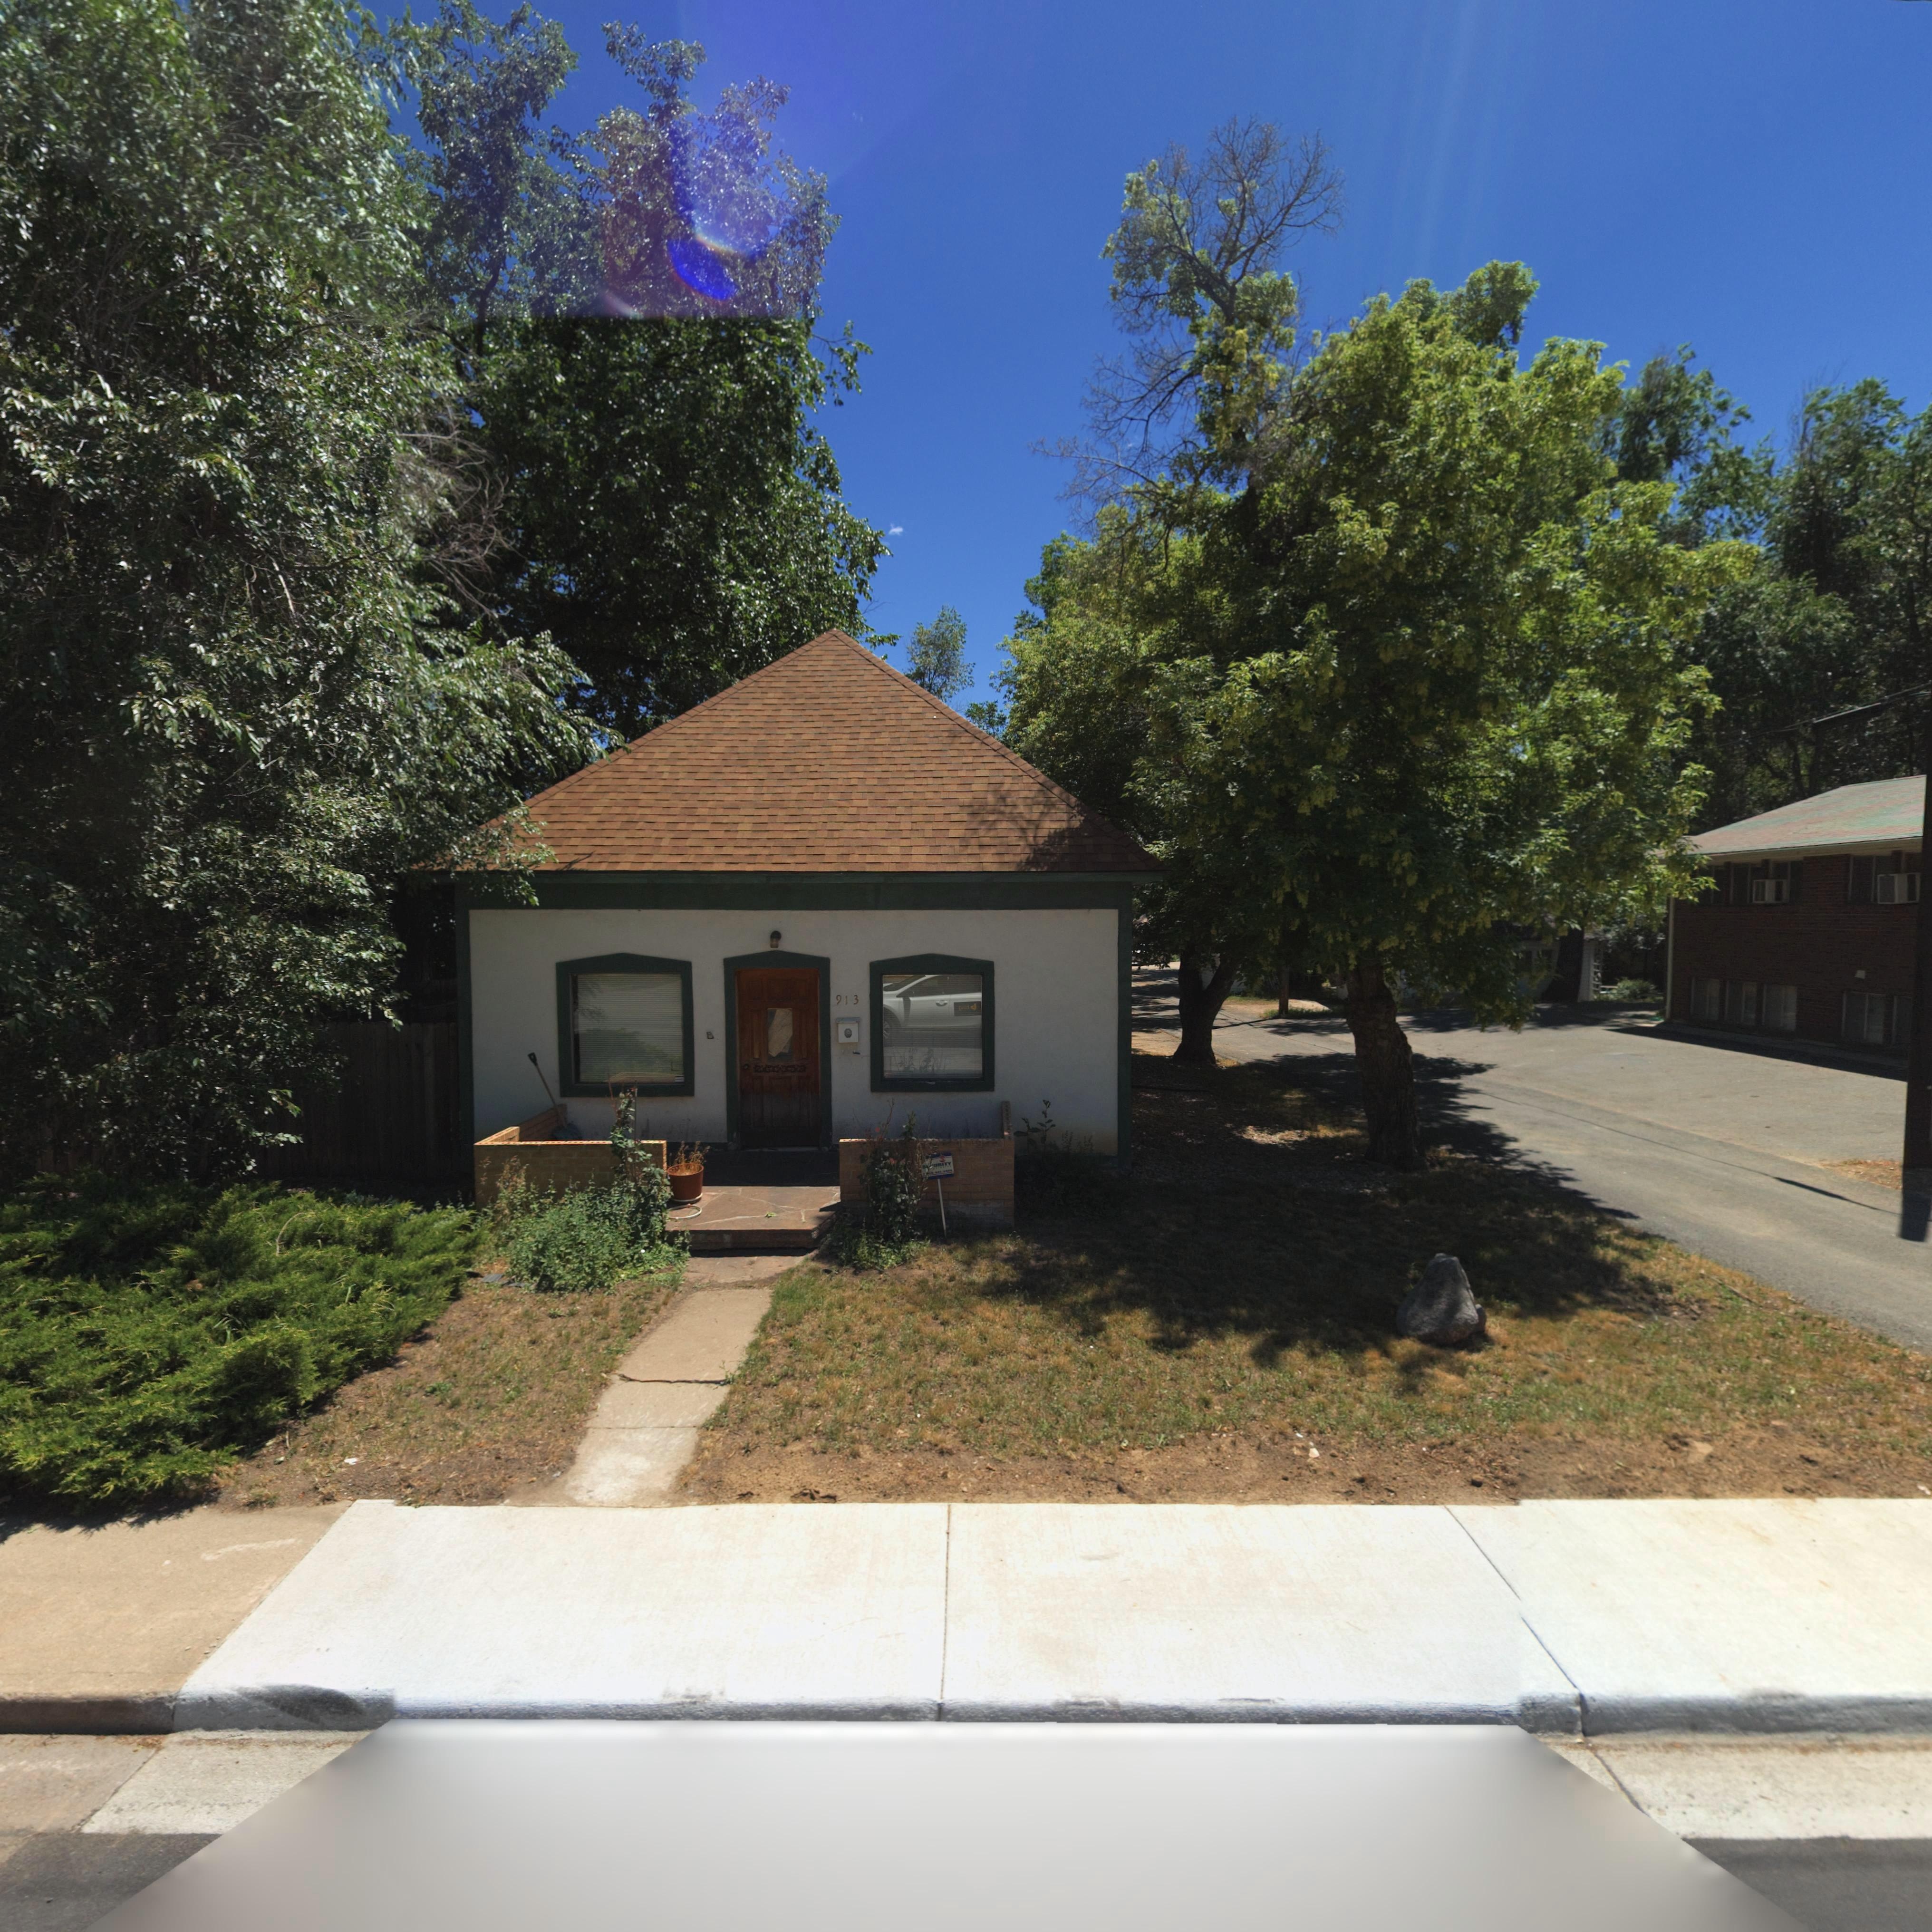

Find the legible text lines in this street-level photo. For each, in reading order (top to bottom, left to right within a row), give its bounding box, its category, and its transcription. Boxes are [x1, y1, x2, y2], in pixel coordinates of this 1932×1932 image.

[835, 994, 859, 1005] StreetNumber: 913